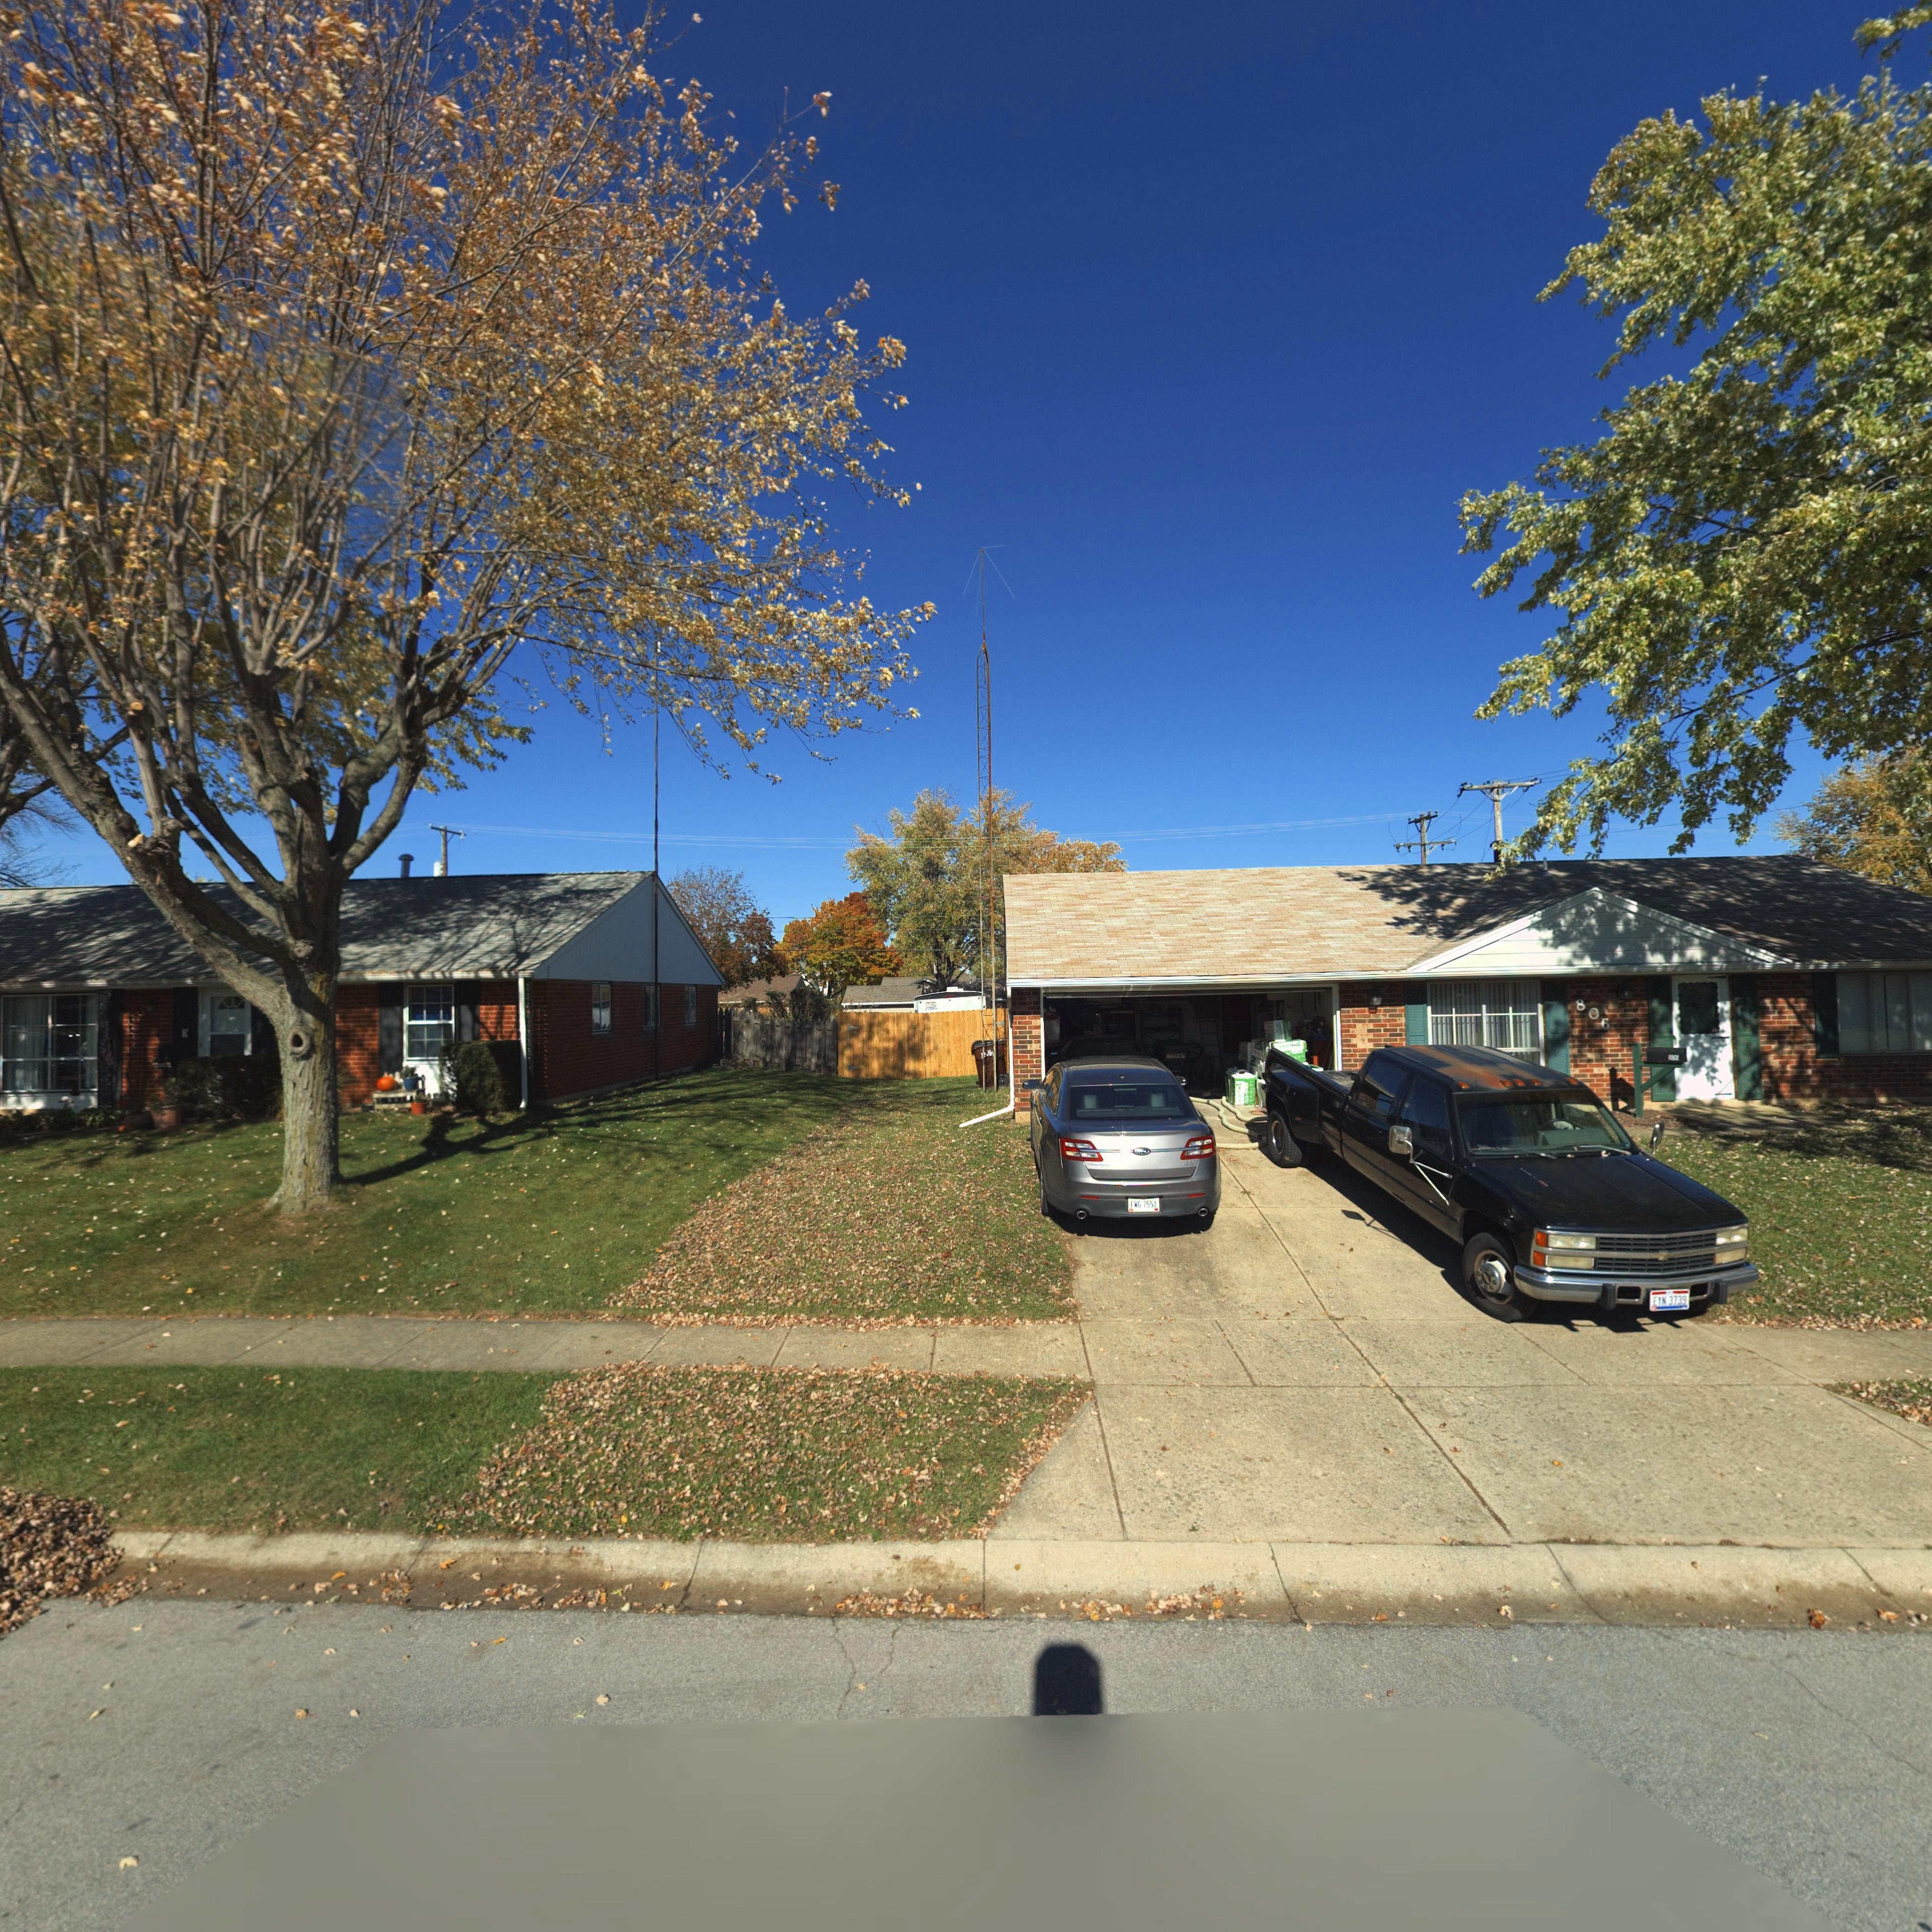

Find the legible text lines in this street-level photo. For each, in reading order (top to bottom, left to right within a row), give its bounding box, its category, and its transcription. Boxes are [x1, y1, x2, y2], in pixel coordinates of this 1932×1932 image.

[1575, 998, 1611, 1031] StreetNumber: 806
[1668, 1054, 1679, 1060] StreetNumber: 806